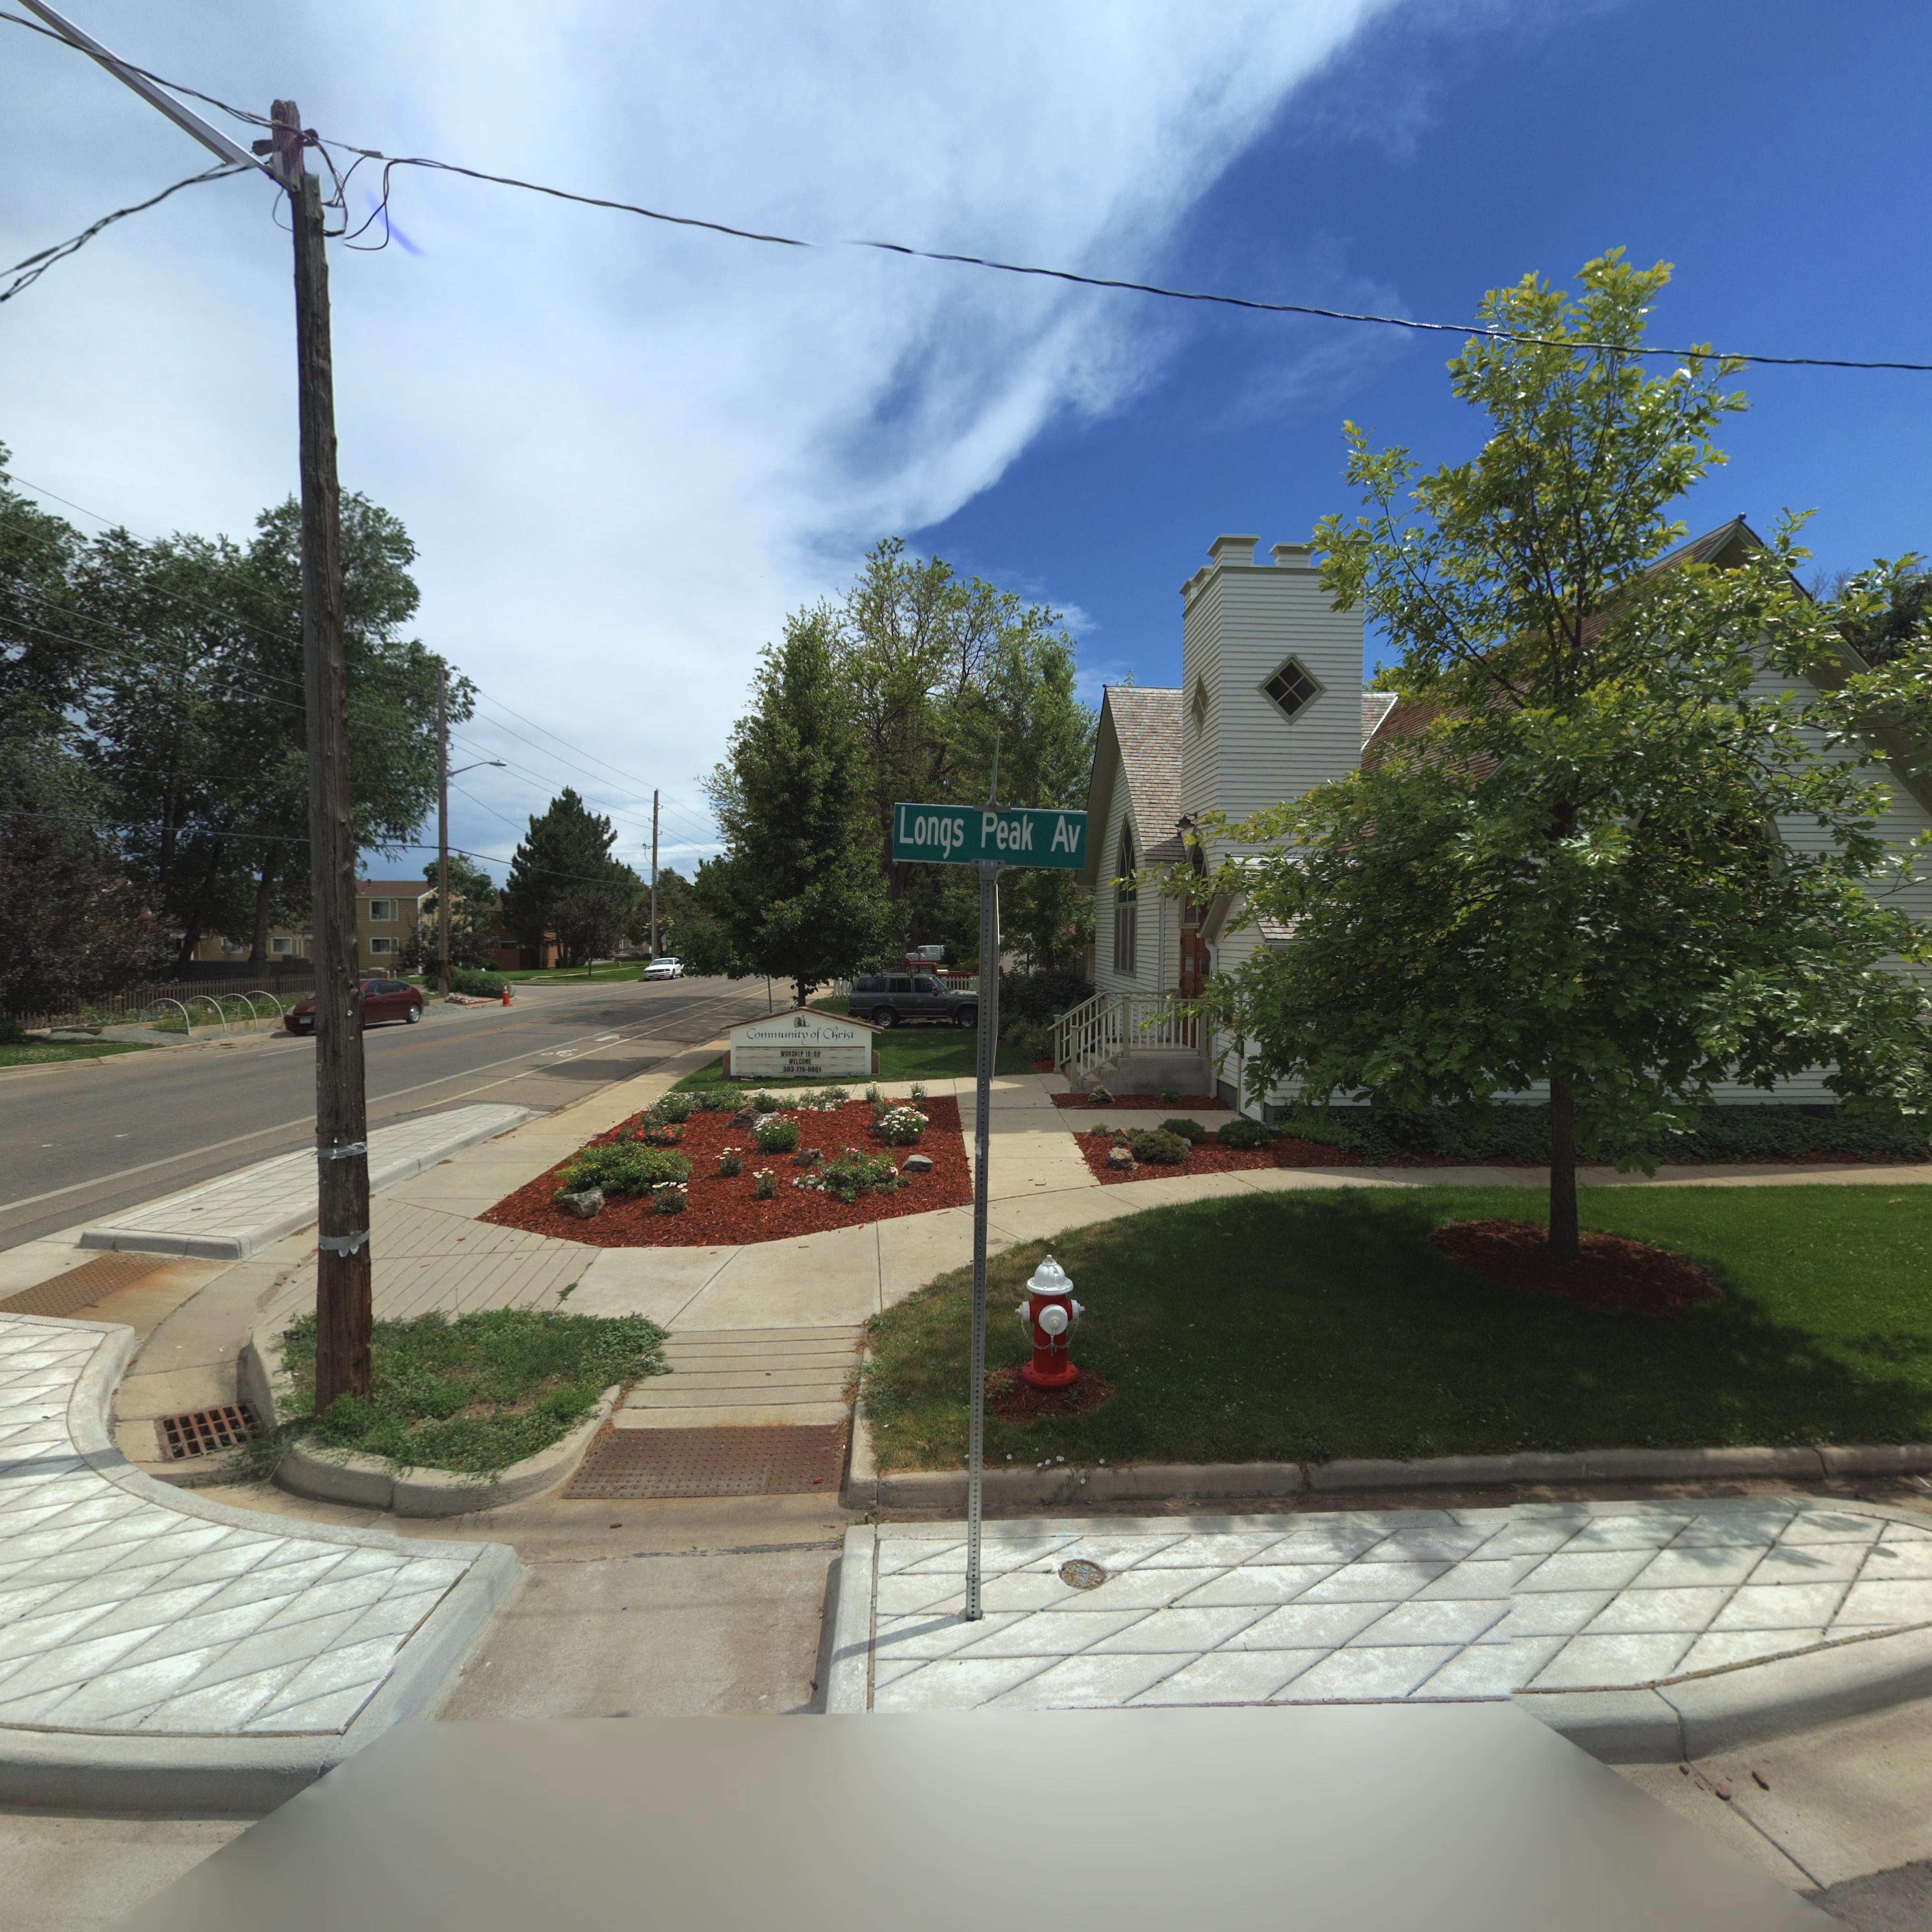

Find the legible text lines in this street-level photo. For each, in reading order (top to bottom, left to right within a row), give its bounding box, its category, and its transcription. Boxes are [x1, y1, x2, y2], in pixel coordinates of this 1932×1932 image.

[895, 804, 1085, 862] StreetName: Longs Peak Av
[745, 1025, 855, 1046] BusinessName: Community of Christ